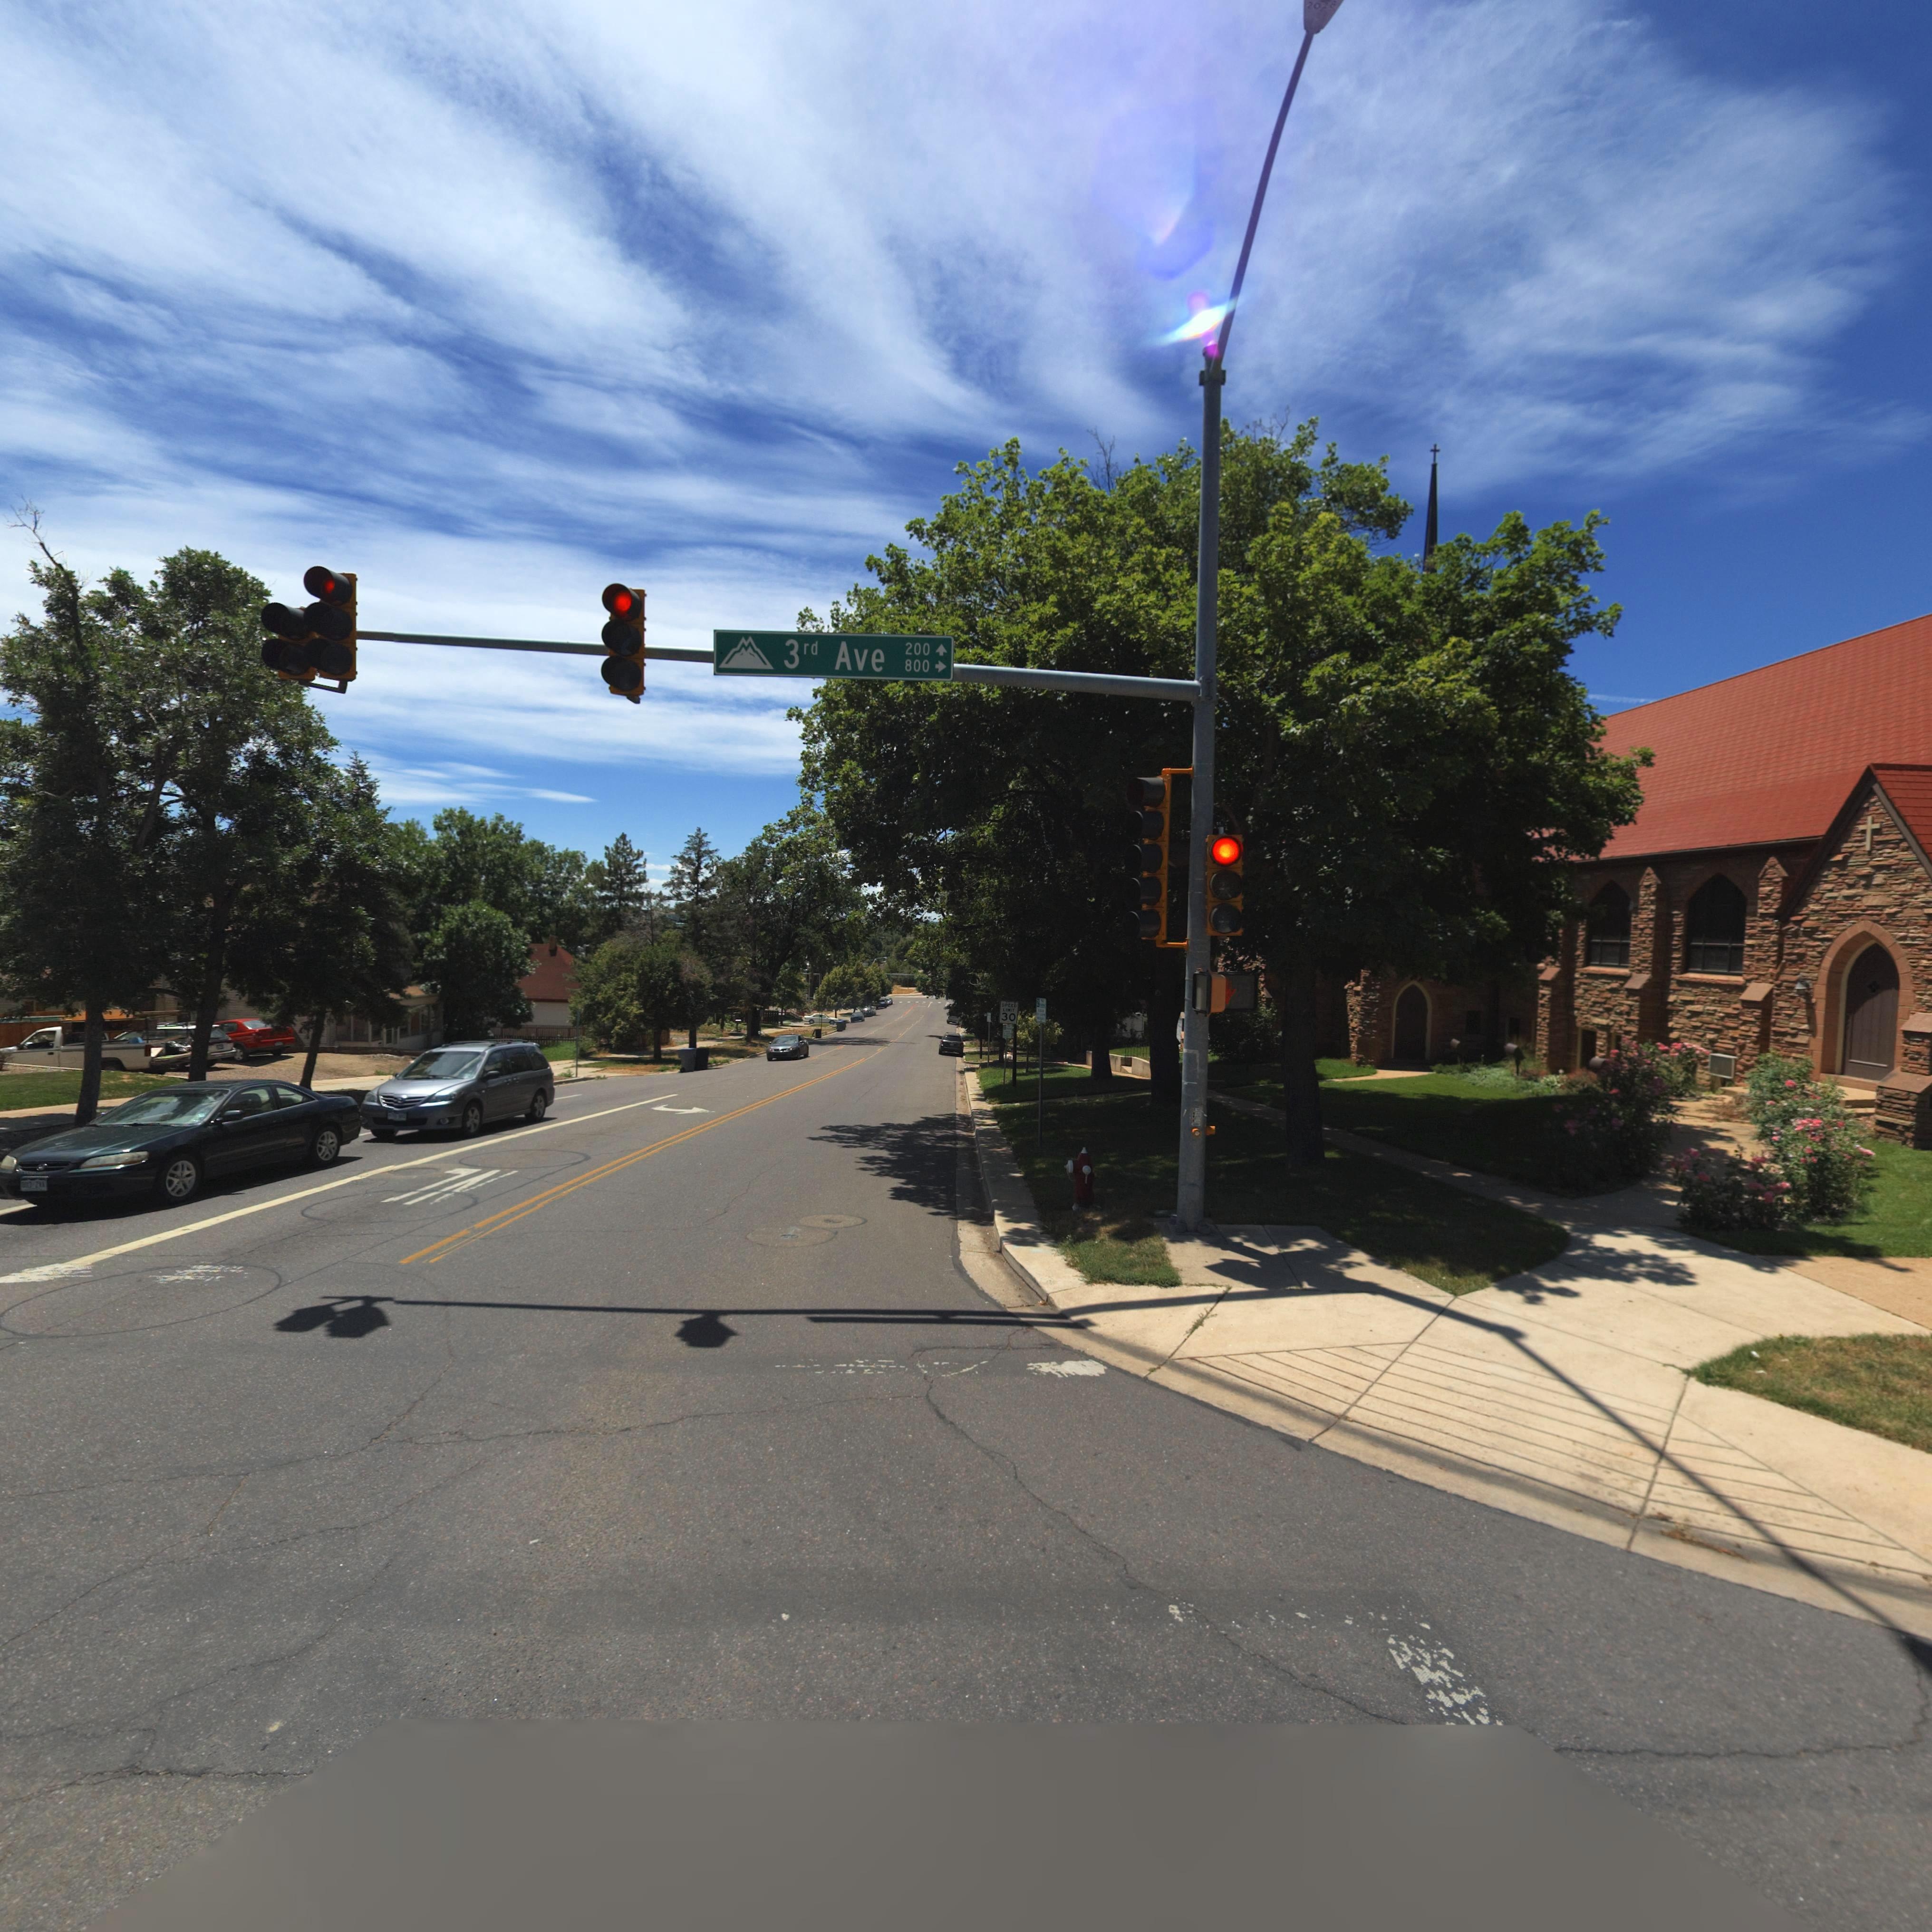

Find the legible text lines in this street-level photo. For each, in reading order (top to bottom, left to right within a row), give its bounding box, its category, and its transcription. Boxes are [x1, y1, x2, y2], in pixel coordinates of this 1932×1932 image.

[782, 638, 885, 673] StreetName: 3rd Ave
[904, 642, 930, 656] StreetNumberRange: 200
[904, 658, 947, 673] StreetNumberRange: 800->